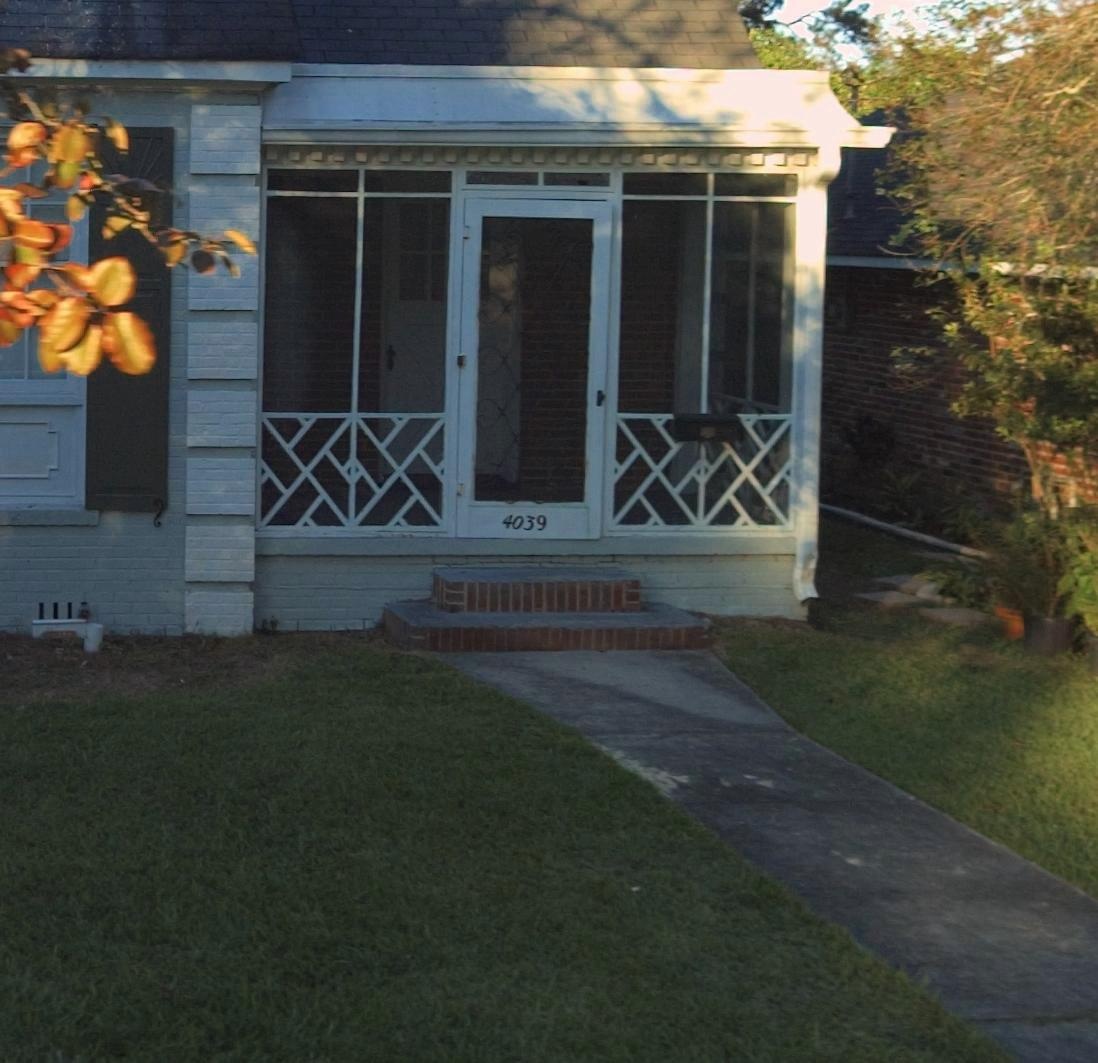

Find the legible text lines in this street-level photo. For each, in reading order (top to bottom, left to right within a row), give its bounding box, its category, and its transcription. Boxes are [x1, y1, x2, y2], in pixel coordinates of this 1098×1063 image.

[500, 512, 549, 534] StreetNumber: 4039